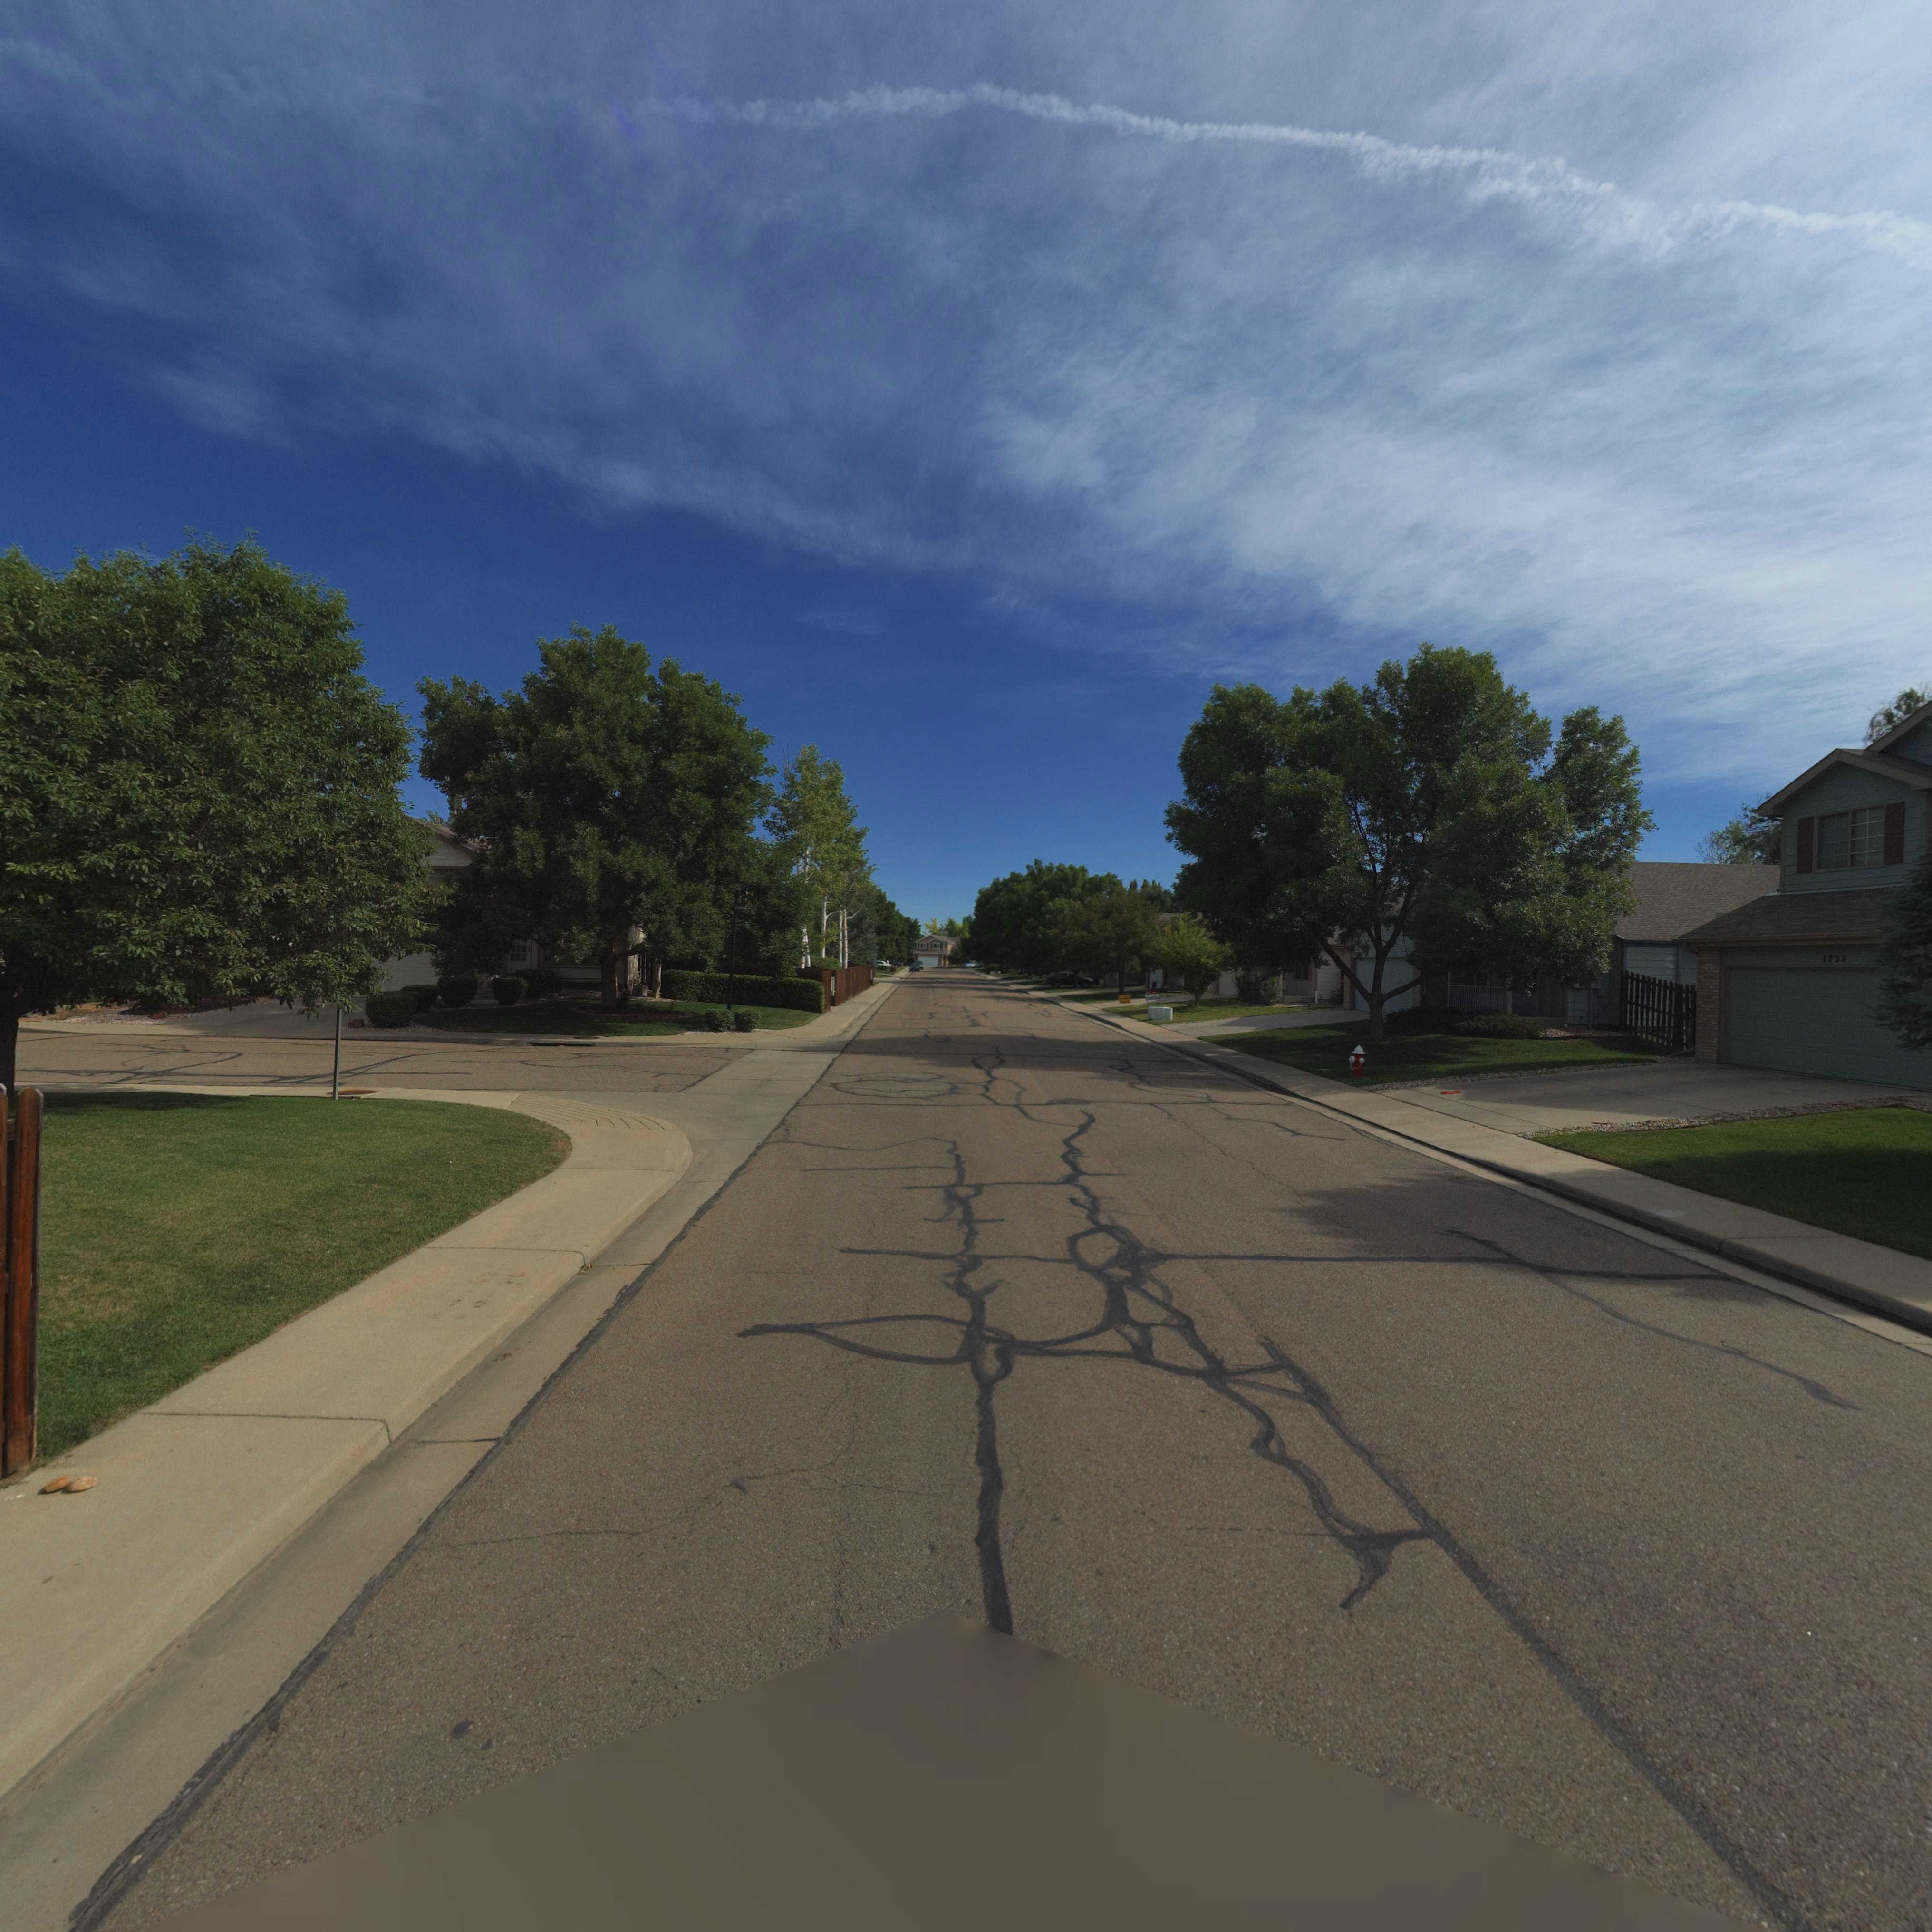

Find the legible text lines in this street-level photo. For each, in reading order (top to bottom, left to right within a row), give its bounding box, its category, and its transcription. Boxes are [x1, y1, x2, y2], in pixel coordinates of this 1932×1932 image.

[1823, 954, 1846, 963] StreetNumber: 1732